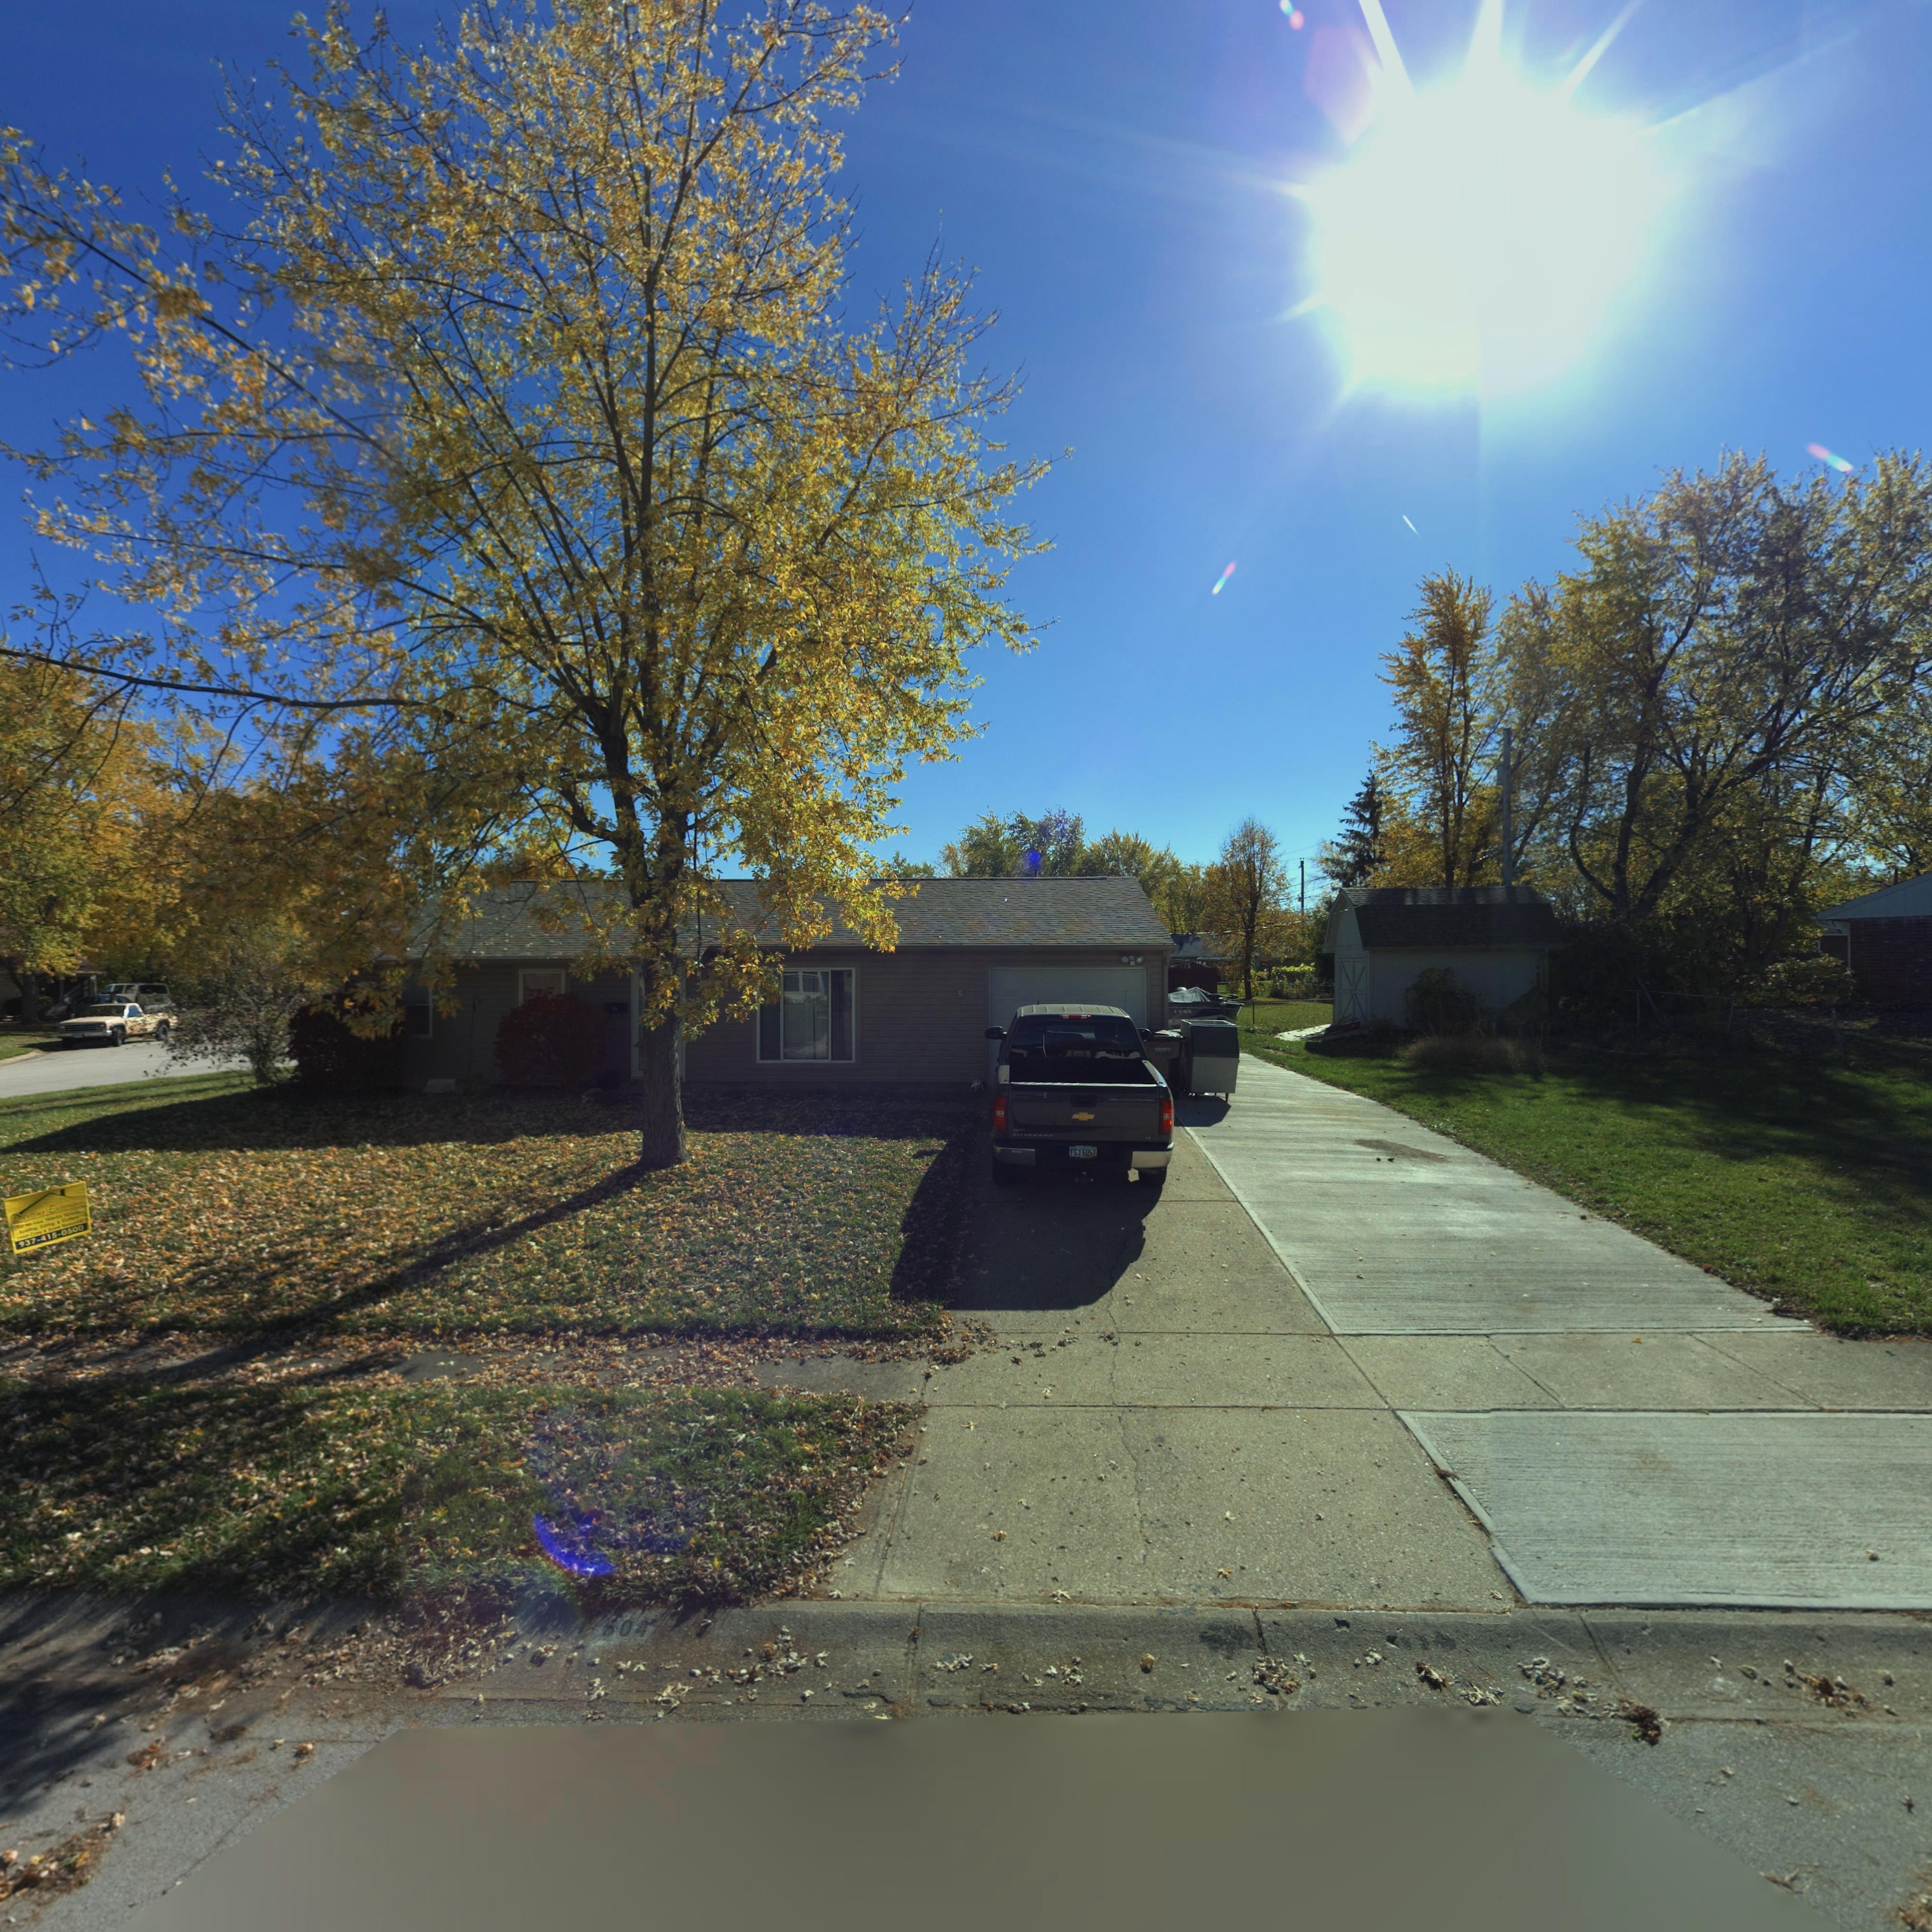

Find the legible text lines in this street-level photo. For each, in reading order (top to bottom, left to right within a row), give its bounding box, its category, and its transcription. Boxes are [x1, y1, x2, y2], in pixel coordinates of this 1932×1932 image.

[601, 1616, 650, 1640] StreetNumber: 504